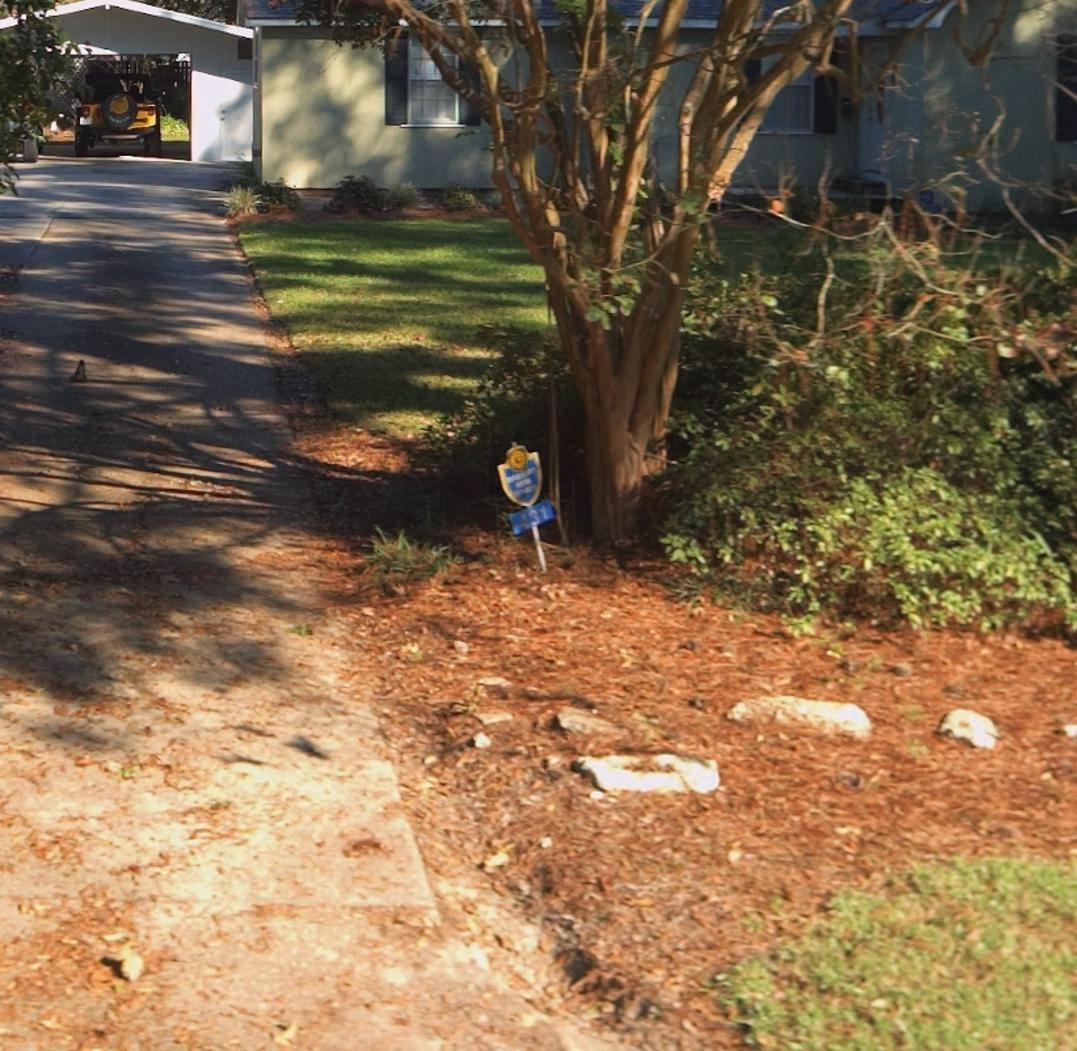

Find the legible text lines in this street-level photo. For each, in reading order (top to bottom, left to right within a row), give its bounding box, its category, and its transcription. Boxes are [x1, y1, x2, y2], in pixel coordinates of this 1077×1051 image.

[517, 503, 553, 530] StreetNumber: 431